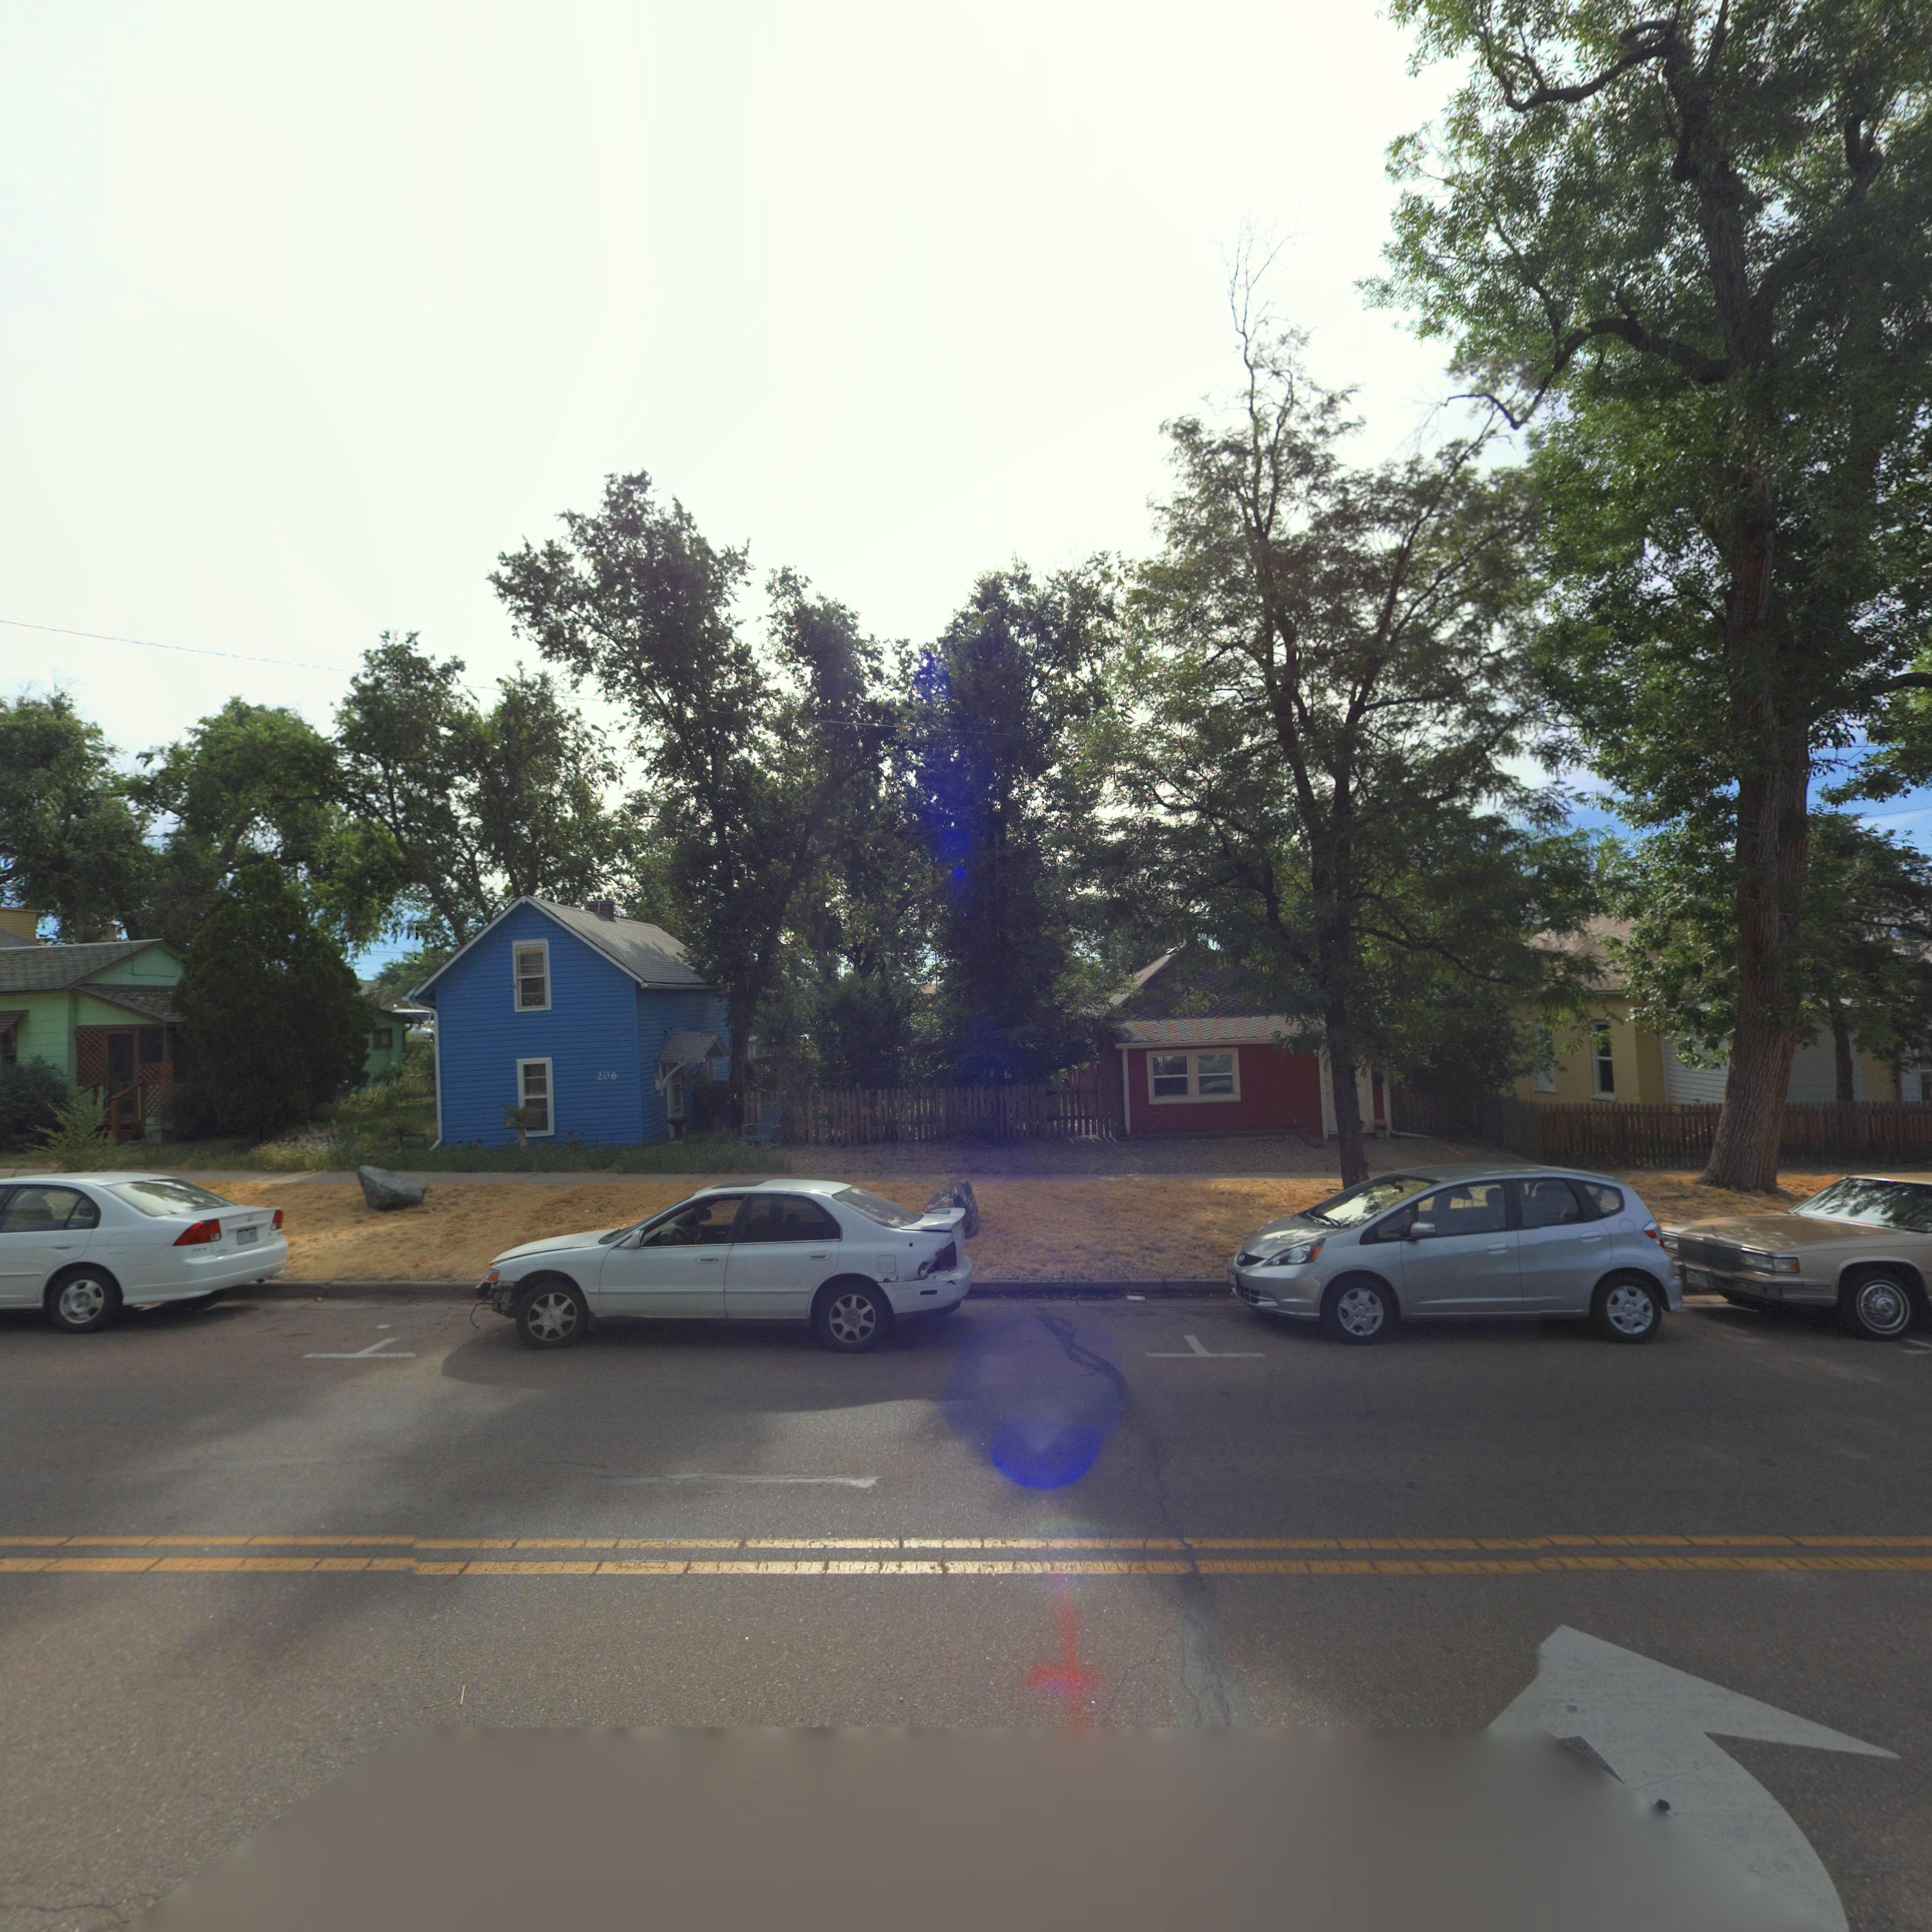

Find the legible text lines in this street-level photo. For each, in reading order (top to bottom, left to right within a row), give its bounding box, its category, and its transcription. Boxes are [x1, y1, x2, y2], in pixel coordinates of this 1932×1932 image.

[596, 1071, 617, 1080] StreetNumber: 206